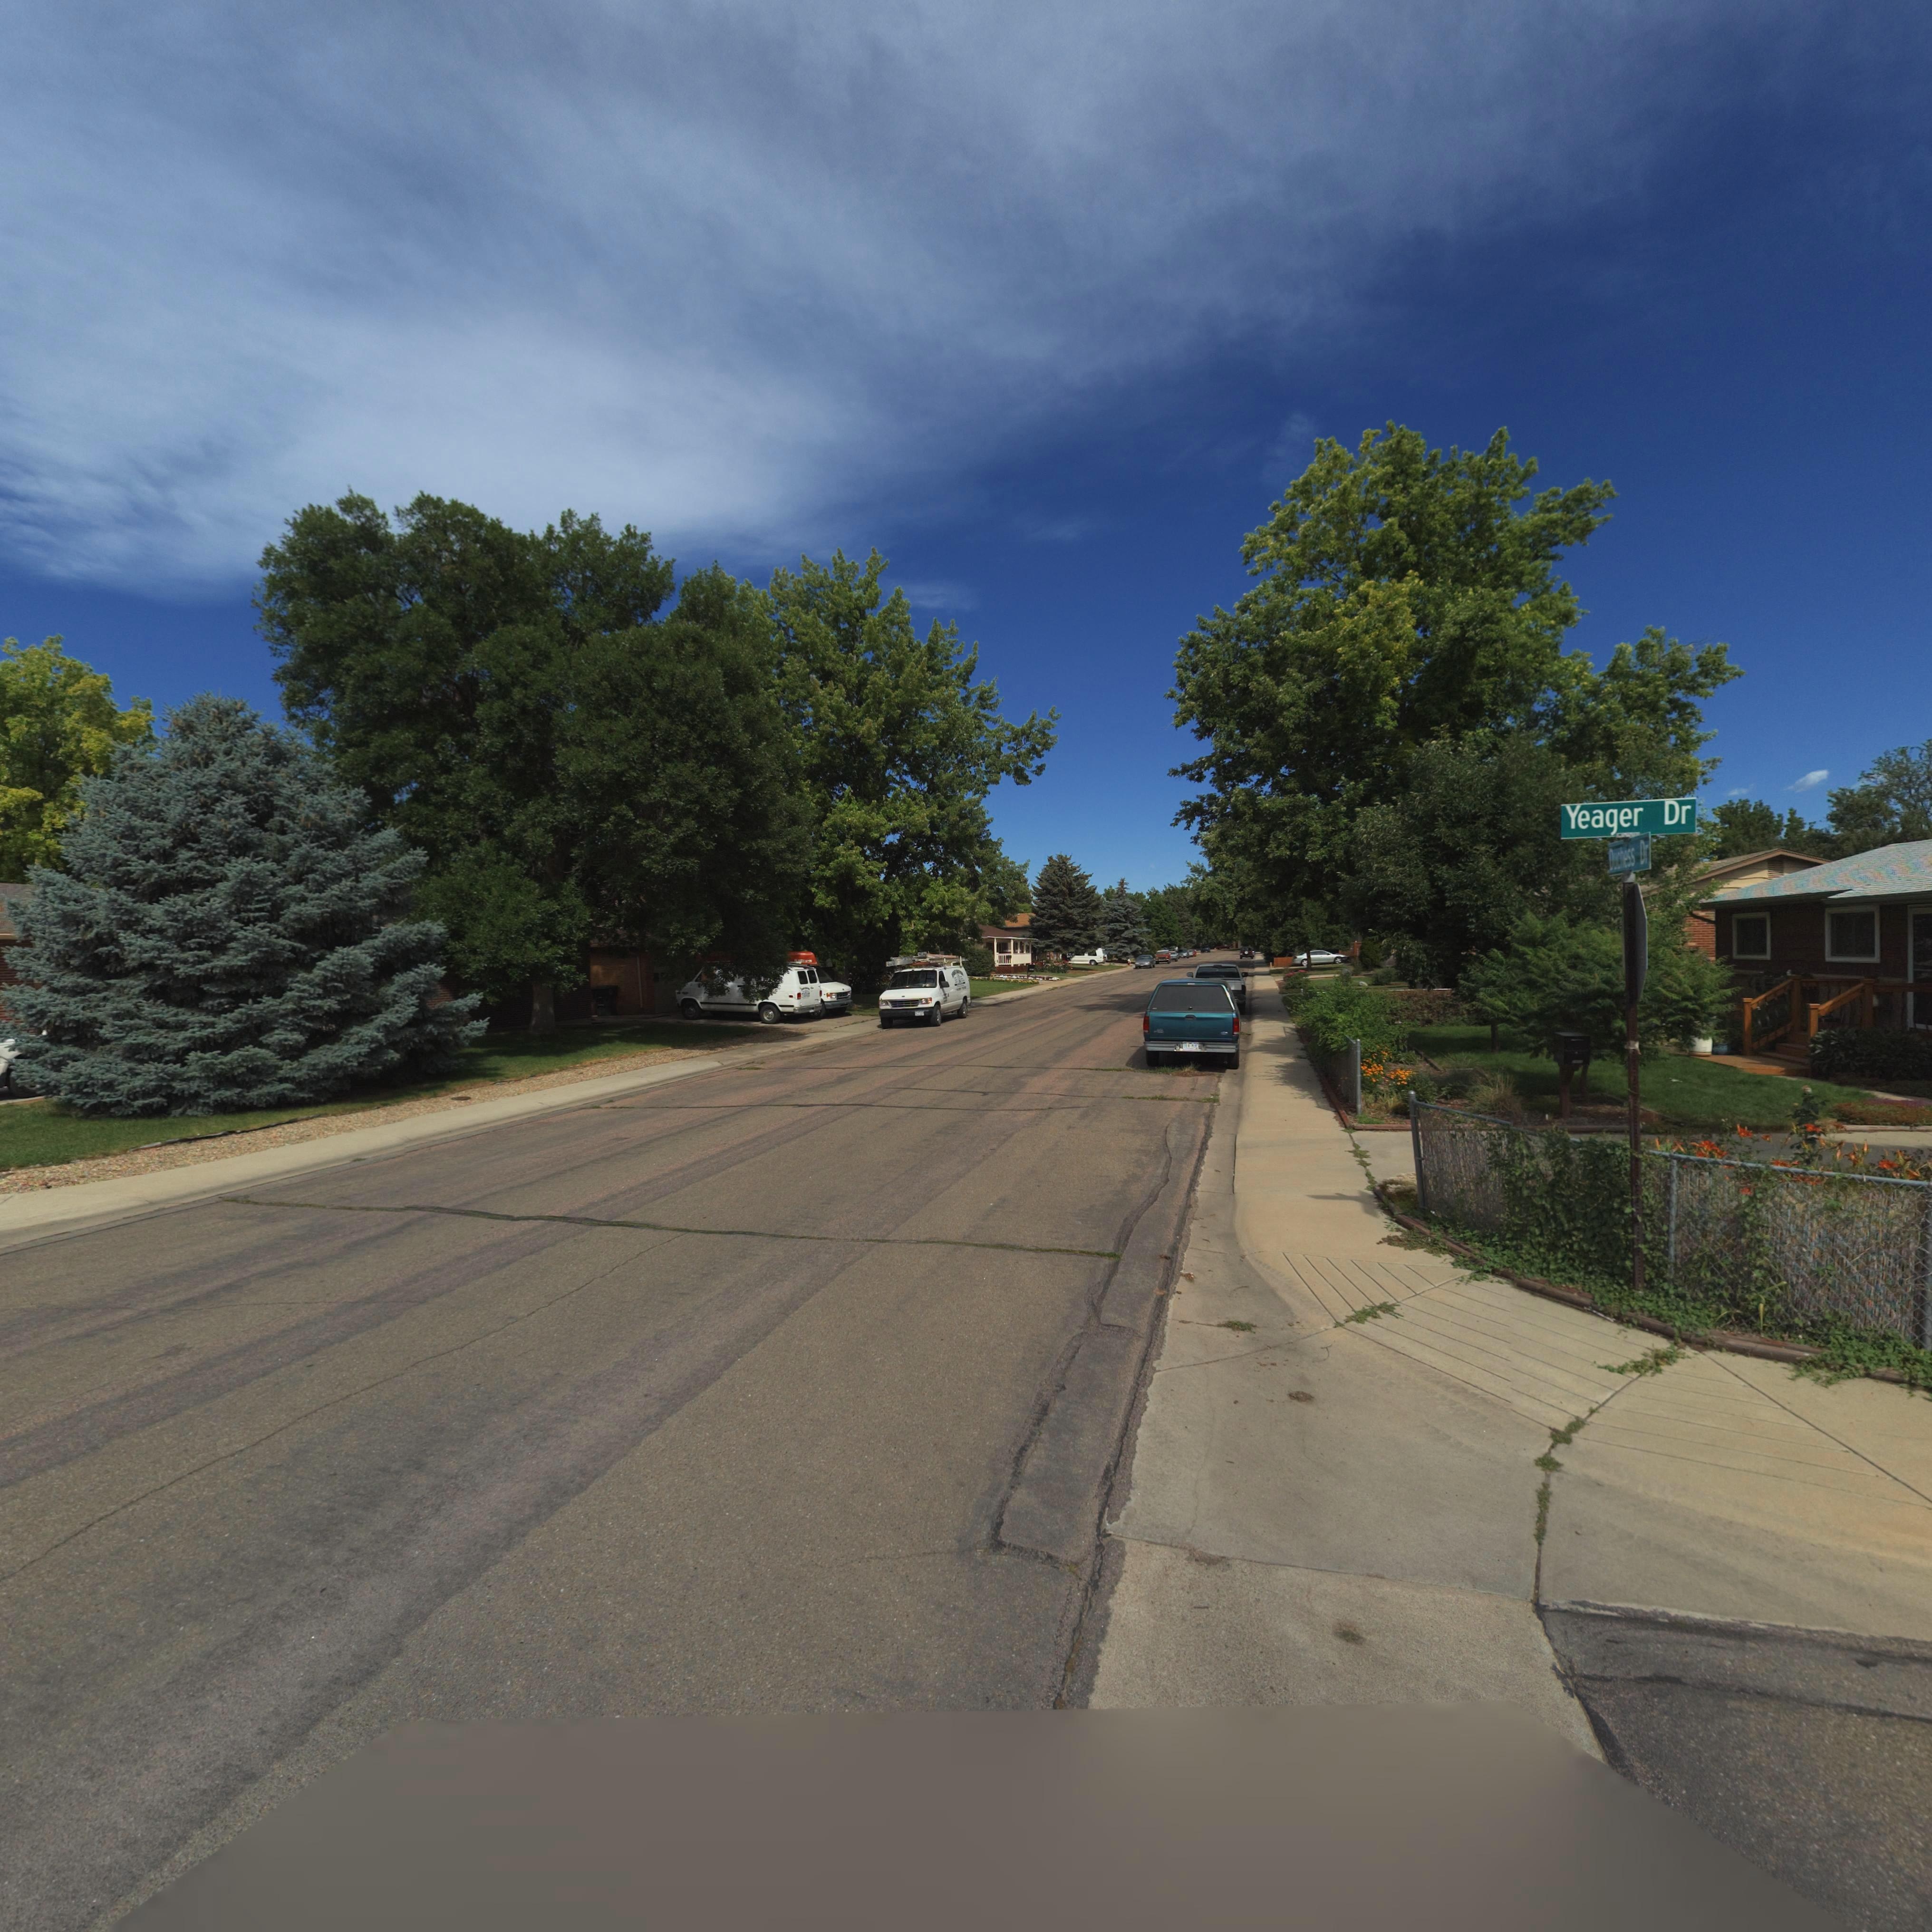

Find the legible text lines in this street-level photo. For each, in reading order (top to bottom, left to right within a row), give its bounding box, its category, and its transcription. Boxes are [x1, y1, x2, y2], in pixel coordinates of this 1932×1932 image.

[1565, 799, 1692, 836] StreetName: Yeager Dr
[1608, 839, 1649, 871] StreetName: Duchess Dr